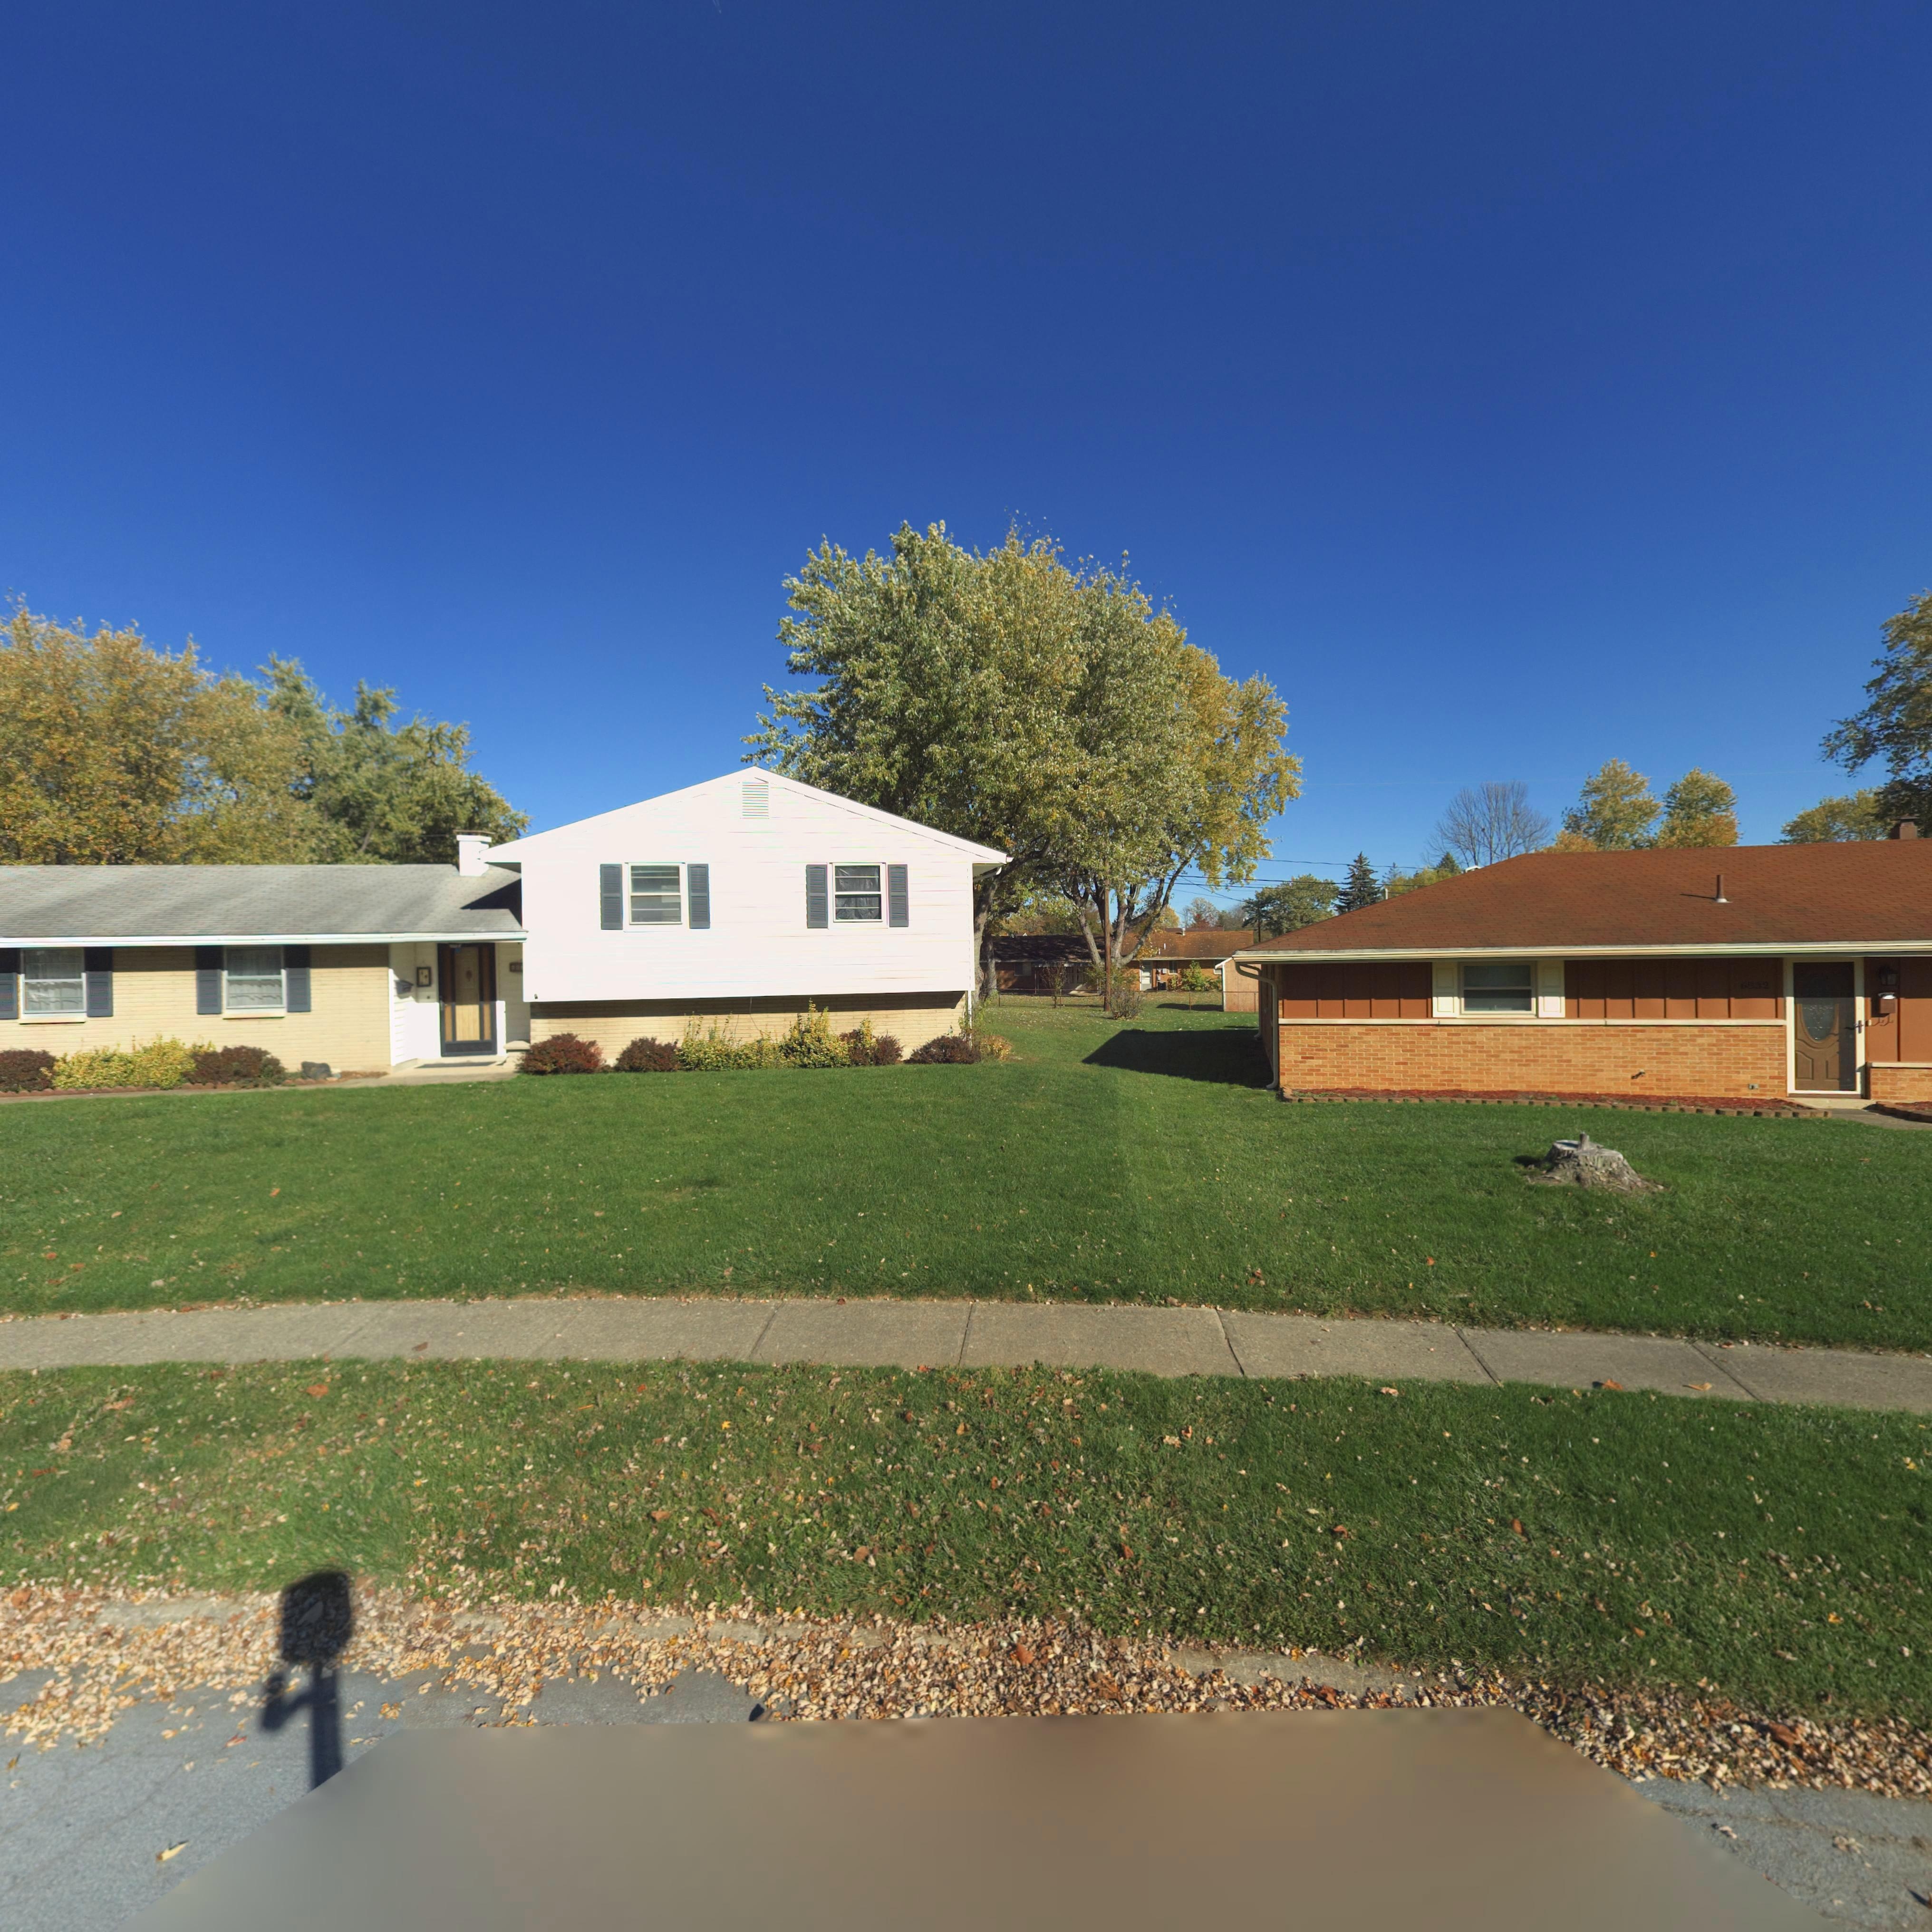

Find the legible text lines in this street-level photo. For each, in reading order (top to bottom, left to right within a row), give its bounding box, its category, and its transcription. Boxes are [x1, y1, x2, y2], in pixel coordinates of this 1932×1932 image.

[1740, 981, 1769, 989] StreetNumber: 6832